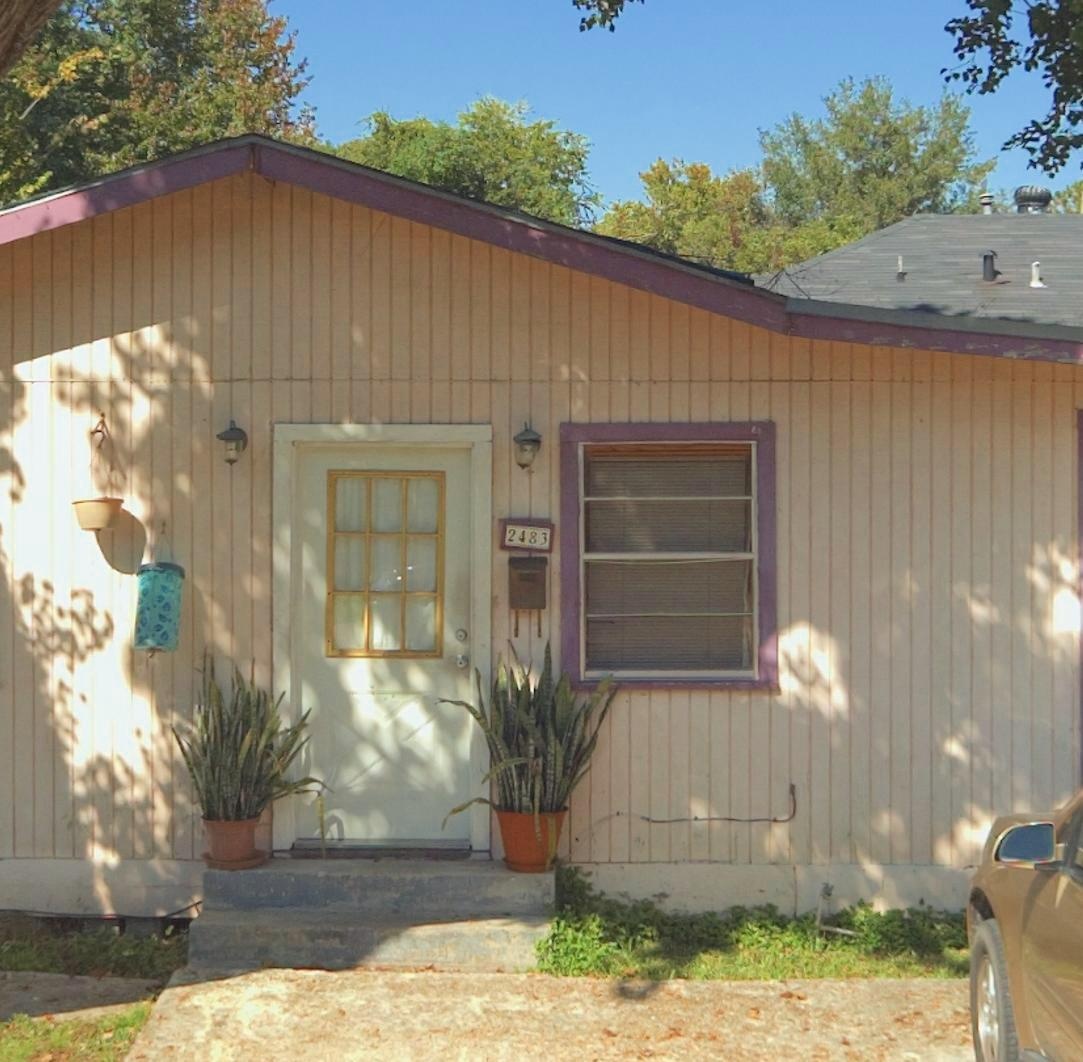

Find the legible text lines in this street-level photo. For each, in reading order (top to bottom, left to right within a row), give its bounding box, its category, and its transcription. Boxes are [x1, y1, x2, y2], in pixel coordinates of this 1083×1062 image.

[505, 527, 549, 547] StreetNumber: 2483